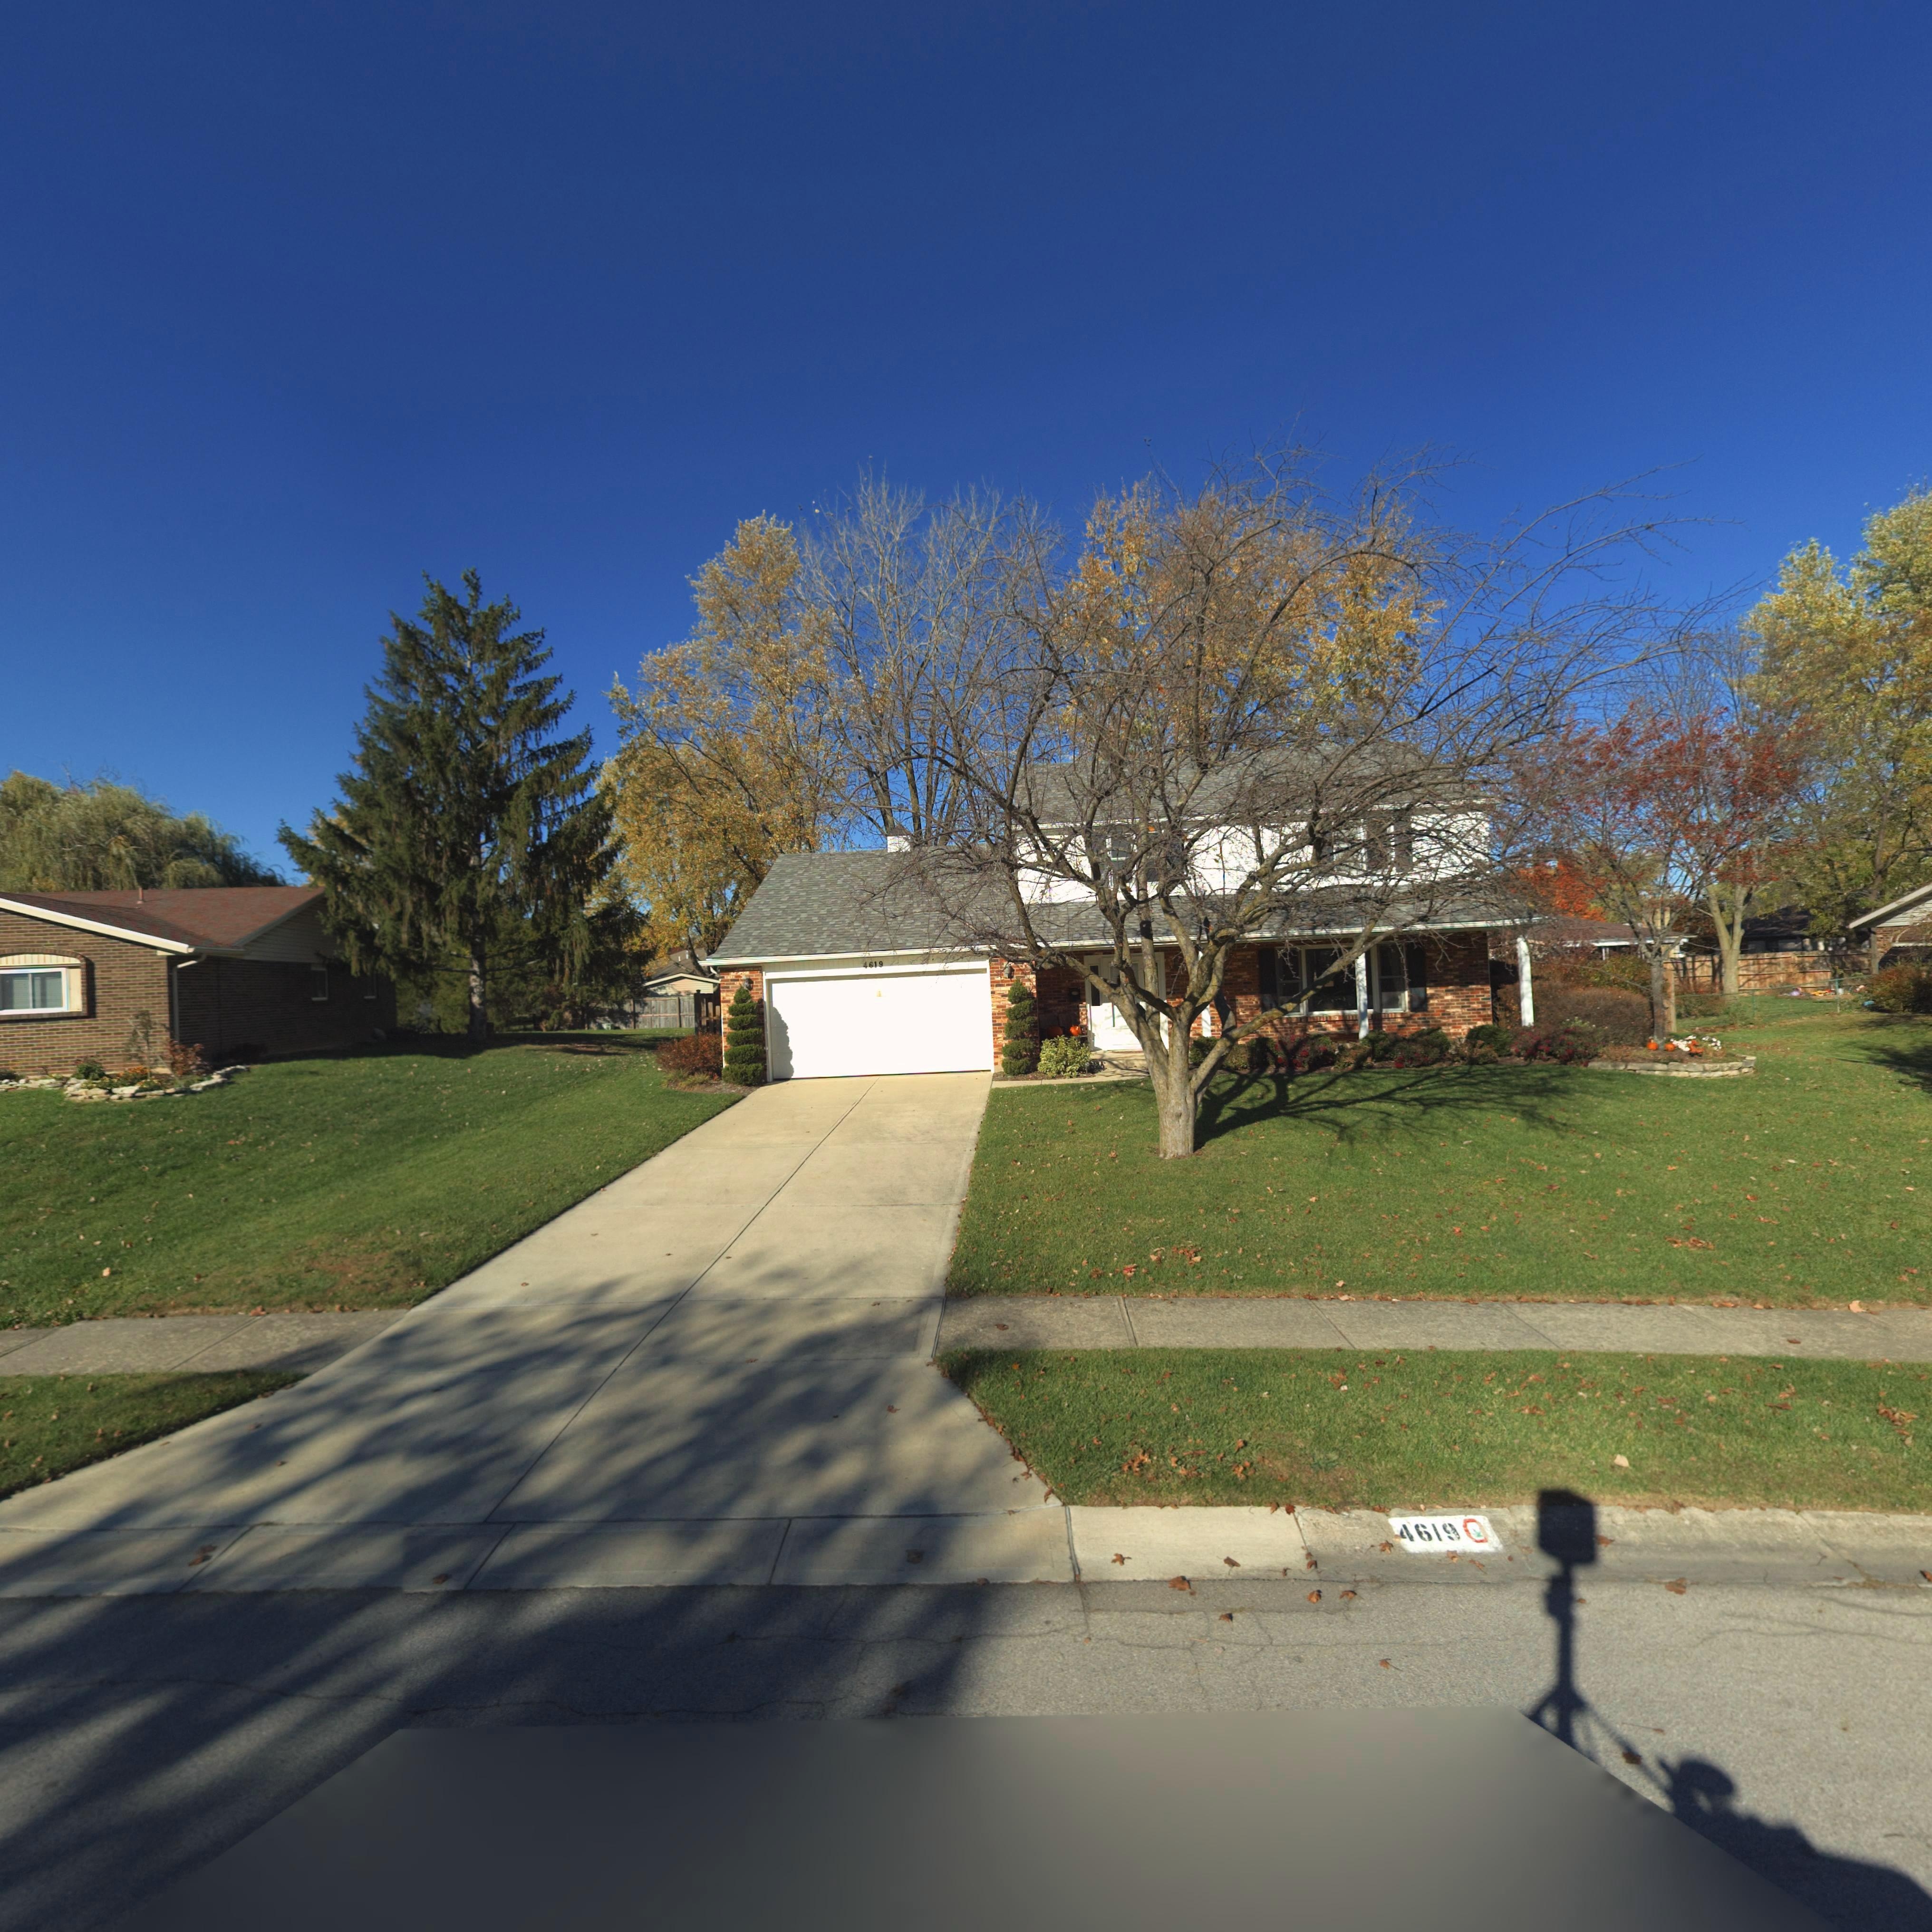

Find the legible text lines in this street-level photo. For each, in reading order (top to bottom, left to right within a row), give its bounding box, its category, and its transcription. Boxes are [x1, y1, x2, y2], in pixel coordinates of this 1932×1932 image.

[862, 960, 883, 969] StreetNumber: 4619
[1398, 1522, 1461, 1542] StreetNumber: 4619